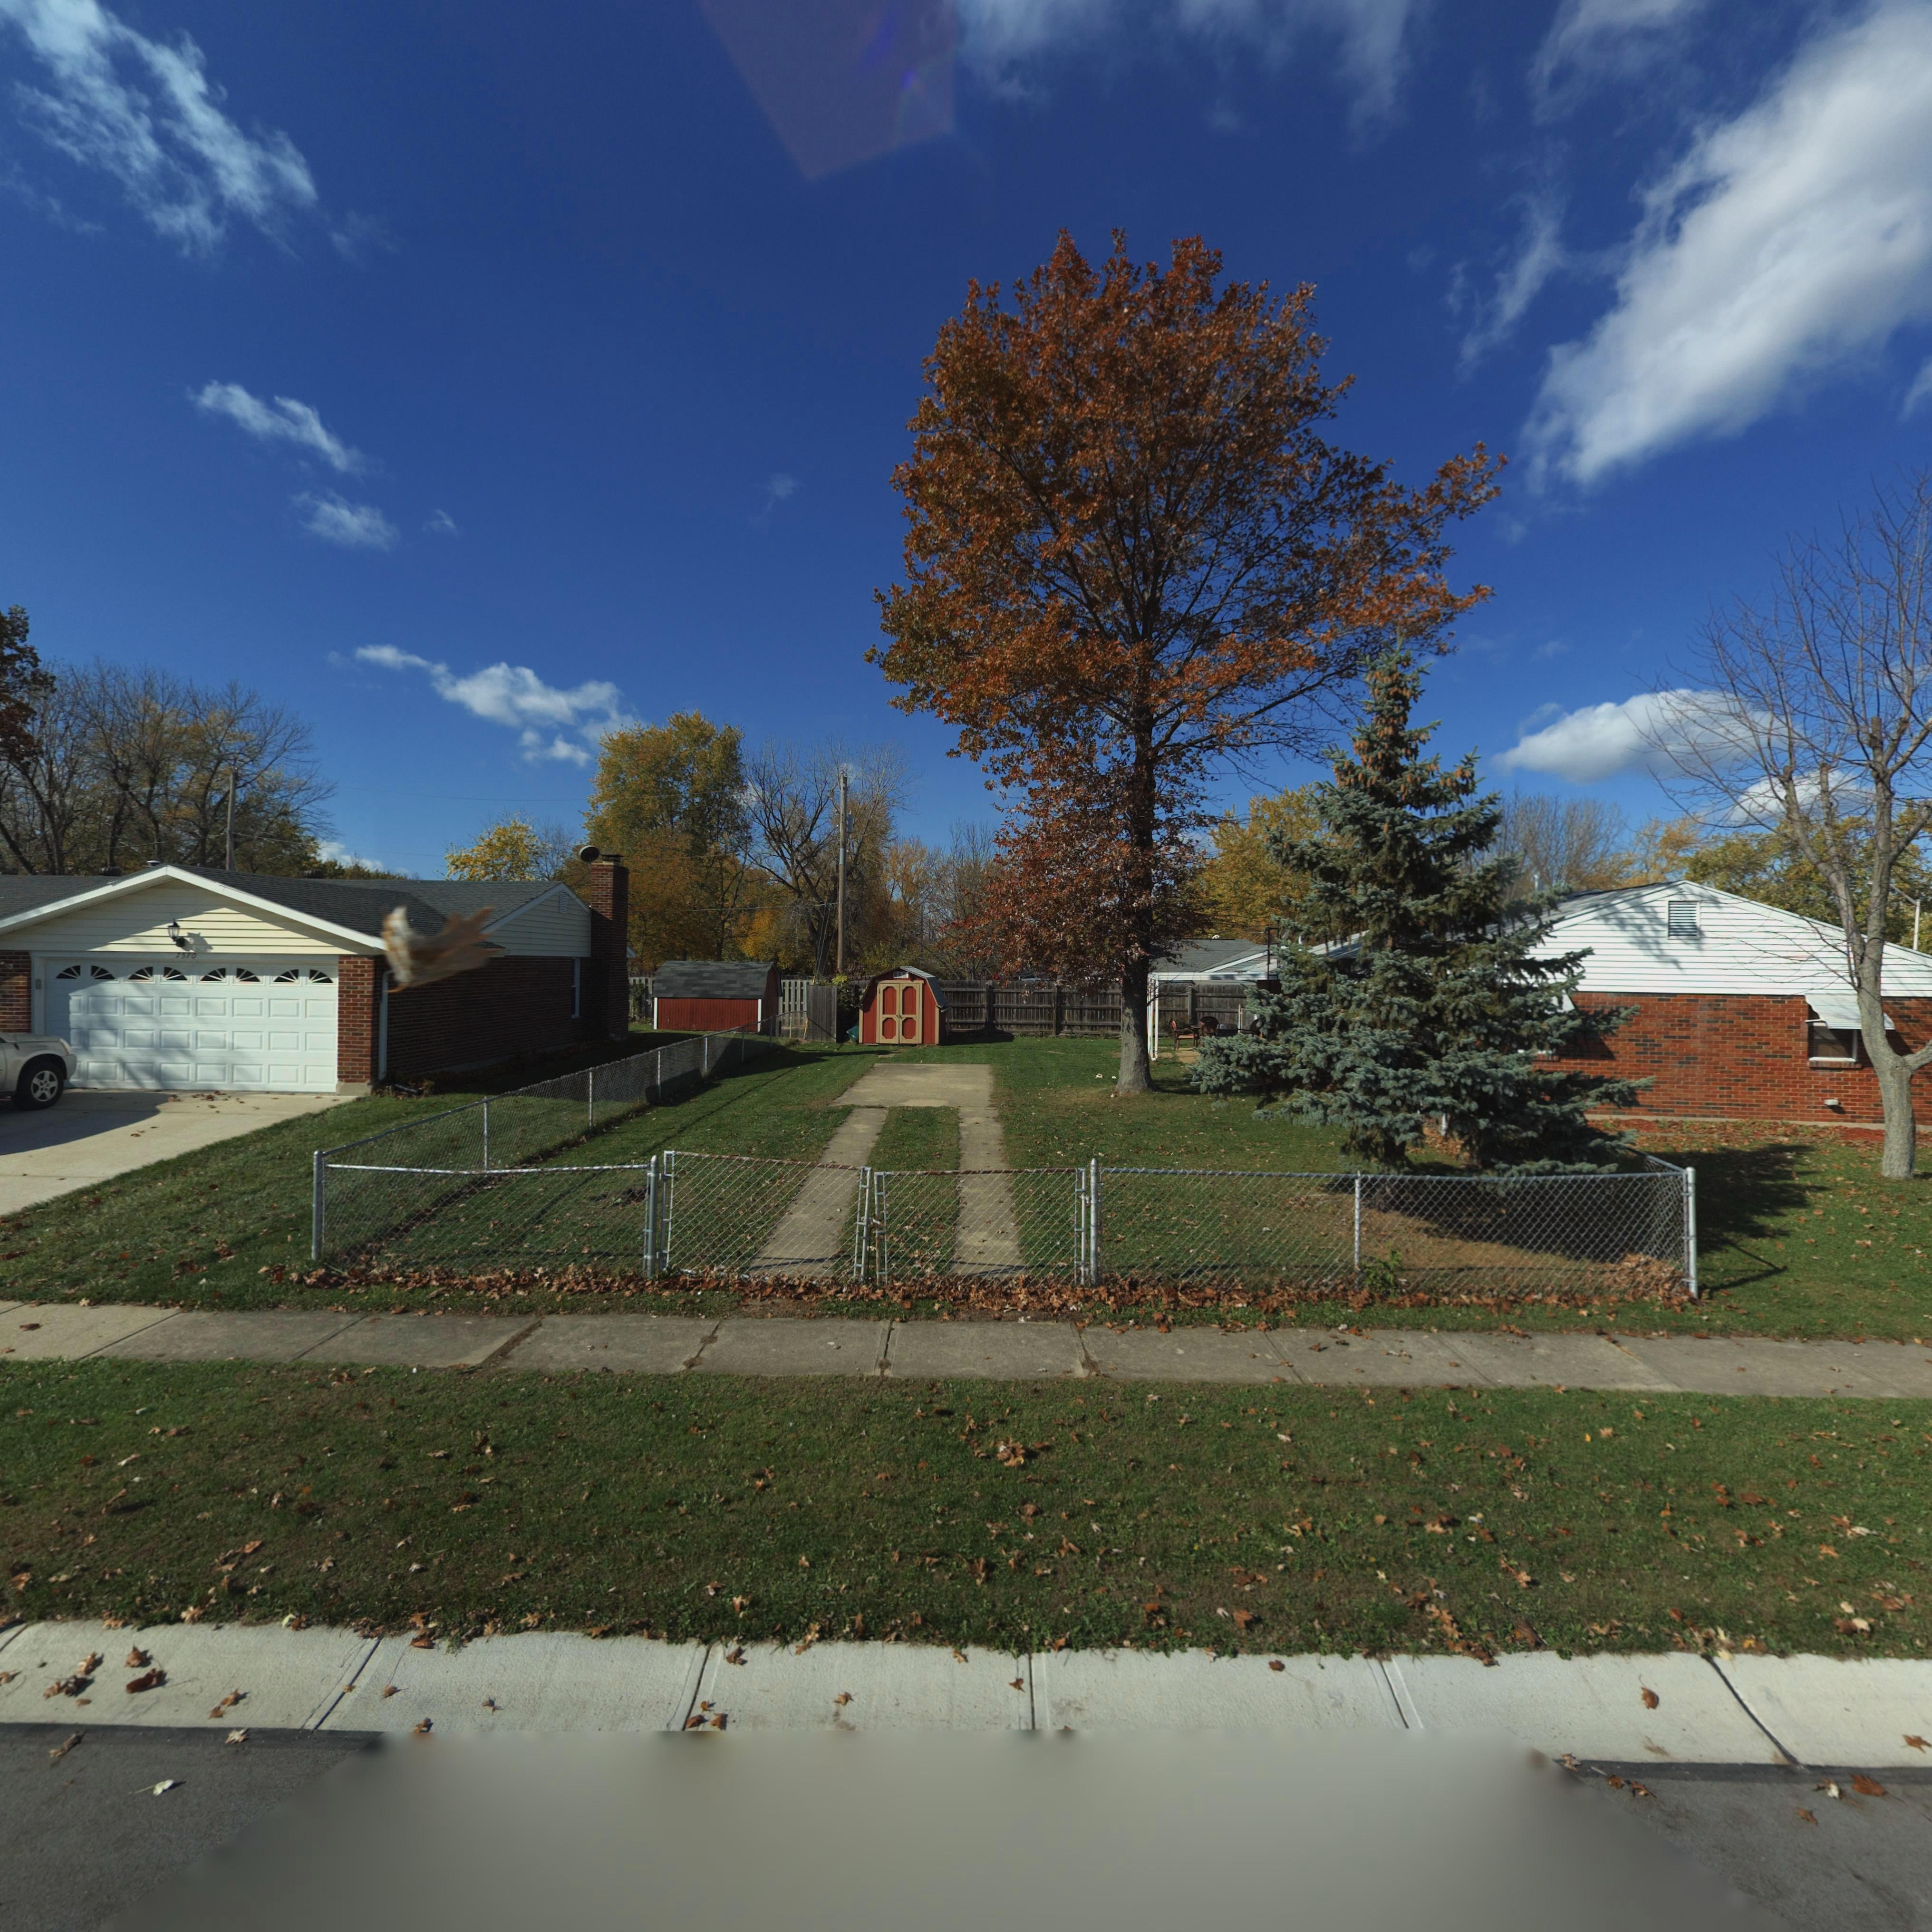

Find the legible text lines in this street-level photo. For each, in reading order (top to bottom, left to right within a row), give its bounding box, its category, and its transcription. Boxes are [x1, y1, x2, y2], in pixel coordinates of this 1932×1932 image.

[174, 952, 198, 960] StreetNumber: 7570